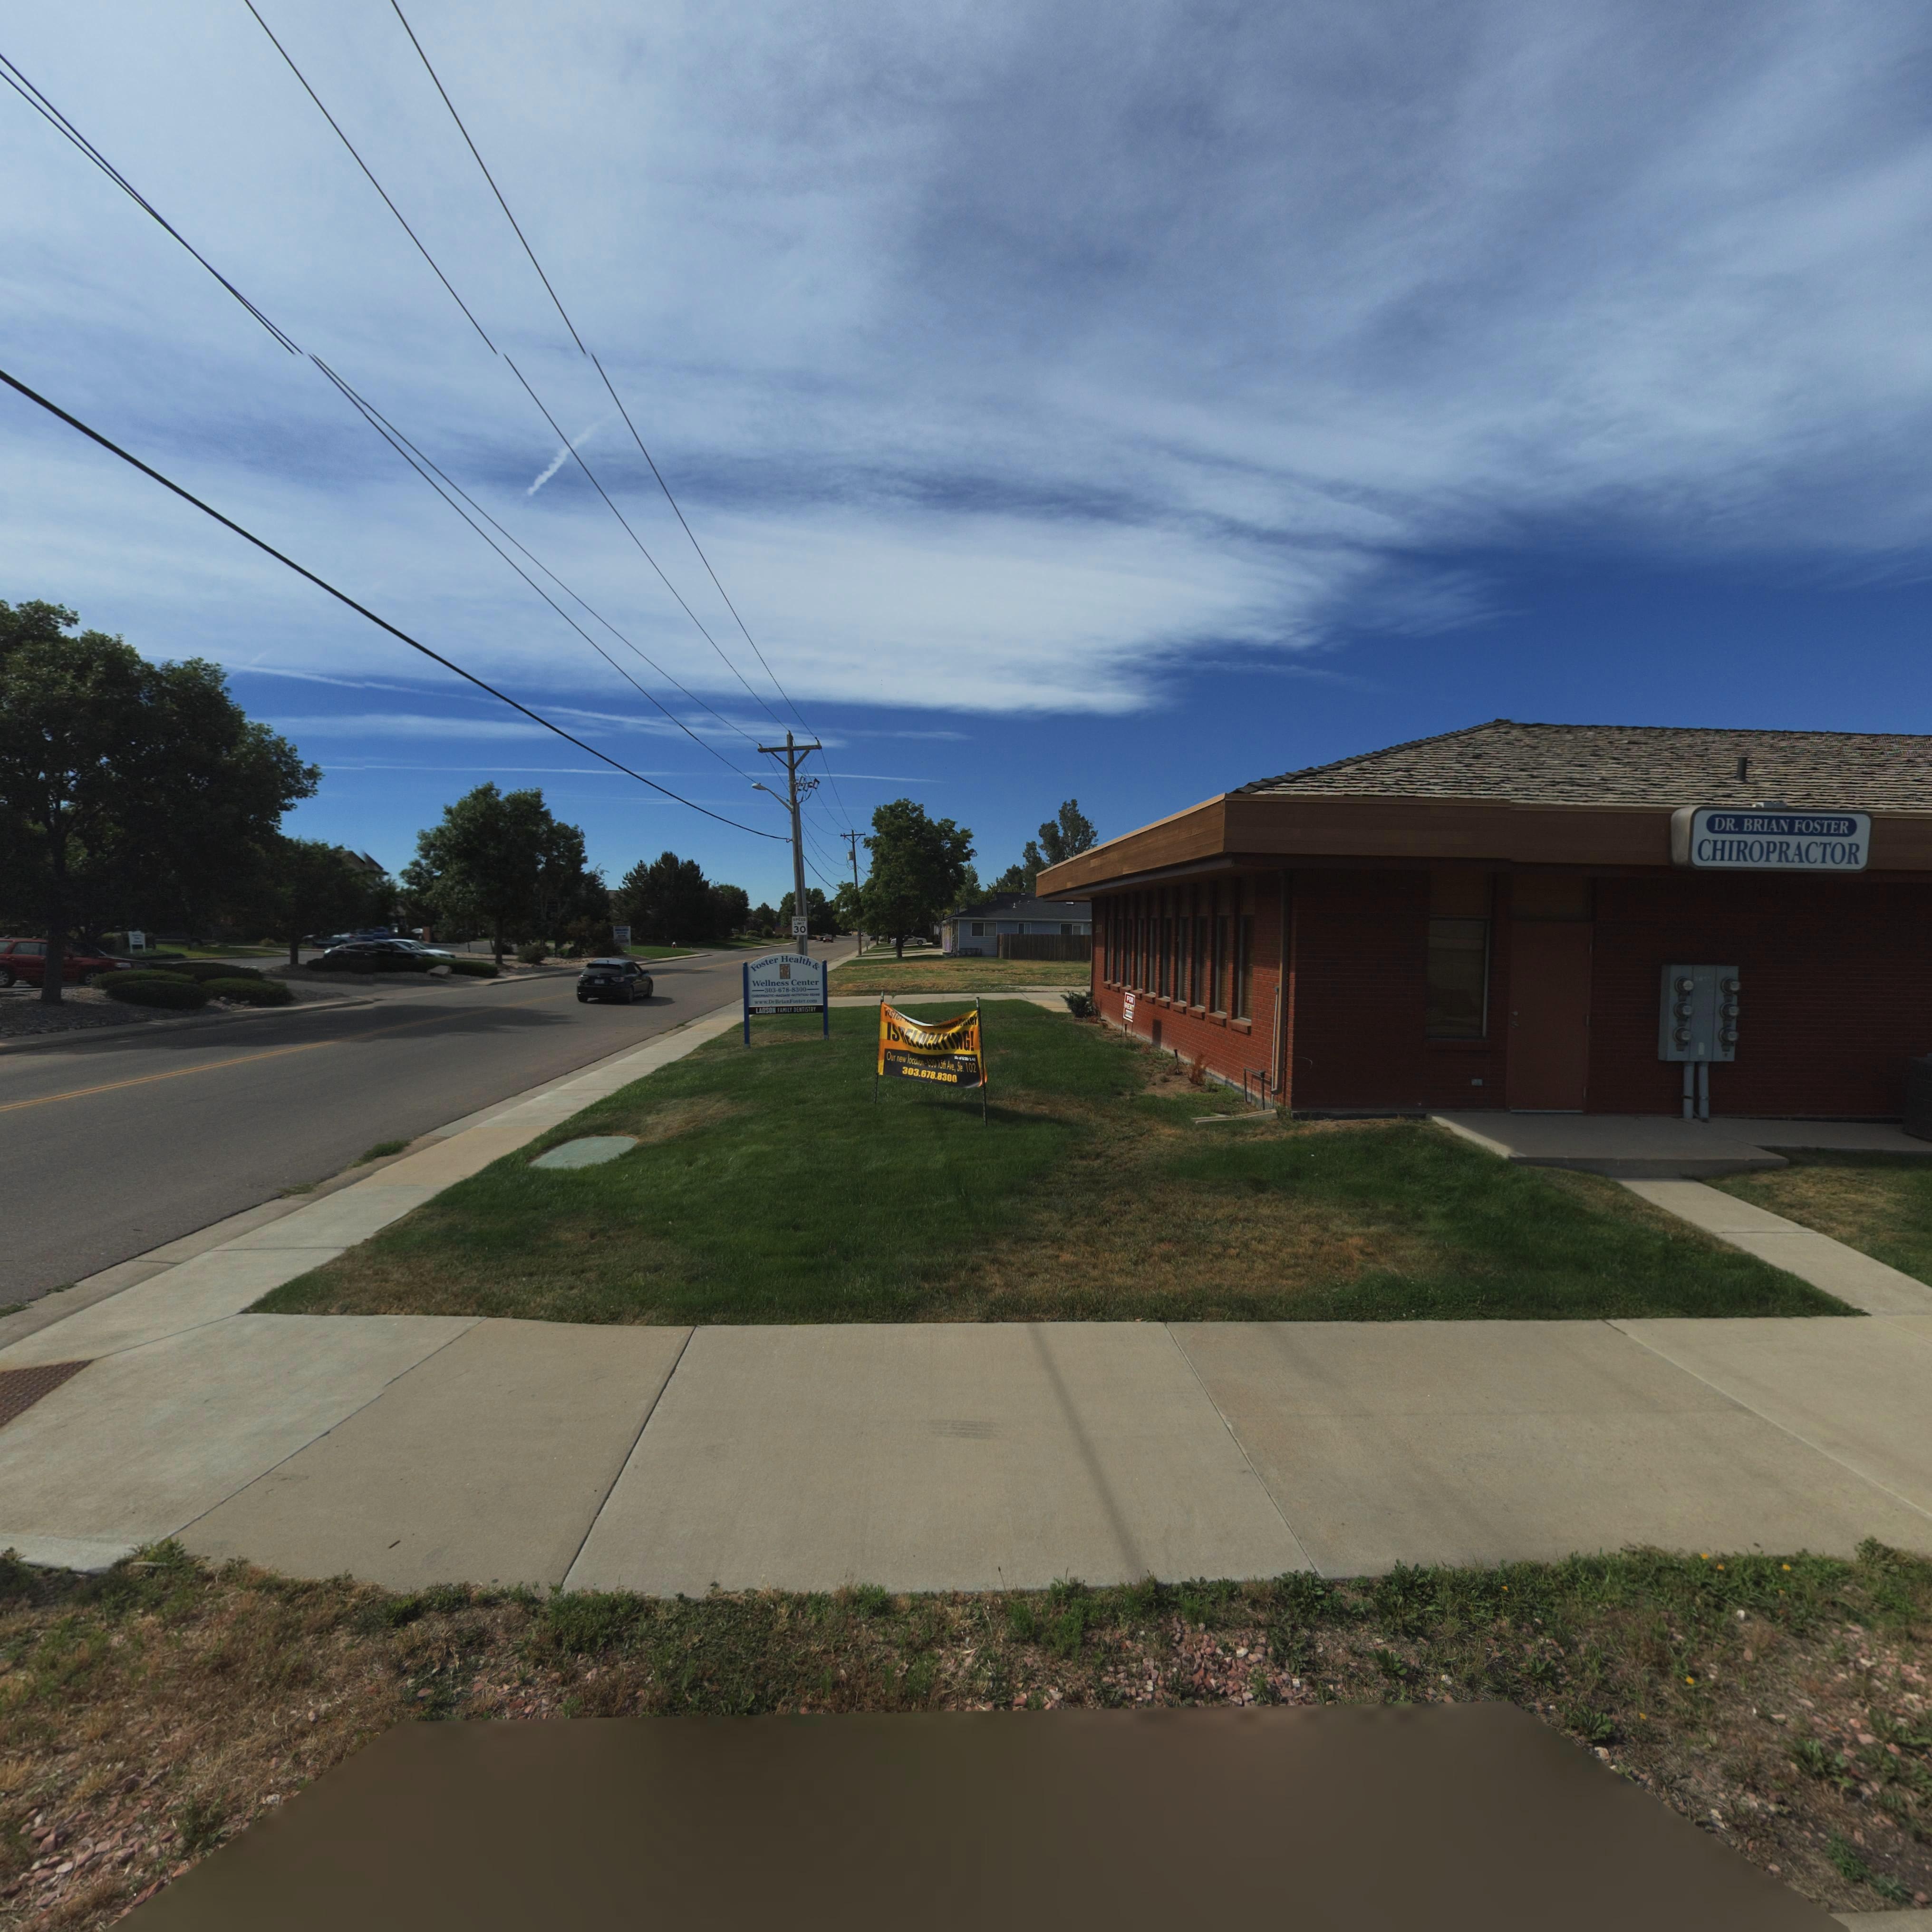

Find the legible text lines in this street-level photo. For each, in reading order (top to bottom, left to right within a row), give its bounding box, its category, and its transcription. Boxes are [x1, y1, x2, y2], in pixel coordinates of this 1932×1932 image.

[1713, 816, 1849, 834] BusinessName: DR. BRIAN FOSTER
[1095, 924, 1102, 933] StreetNumber: **51
[749, 955, 820, 972] BusinessName: Foster Health &
[751, 979, 819, 986] BusinessName: Wellness Center
[755, 1006, 817, 1014] BusinessName: LARSON FAMILY DENTISTRY